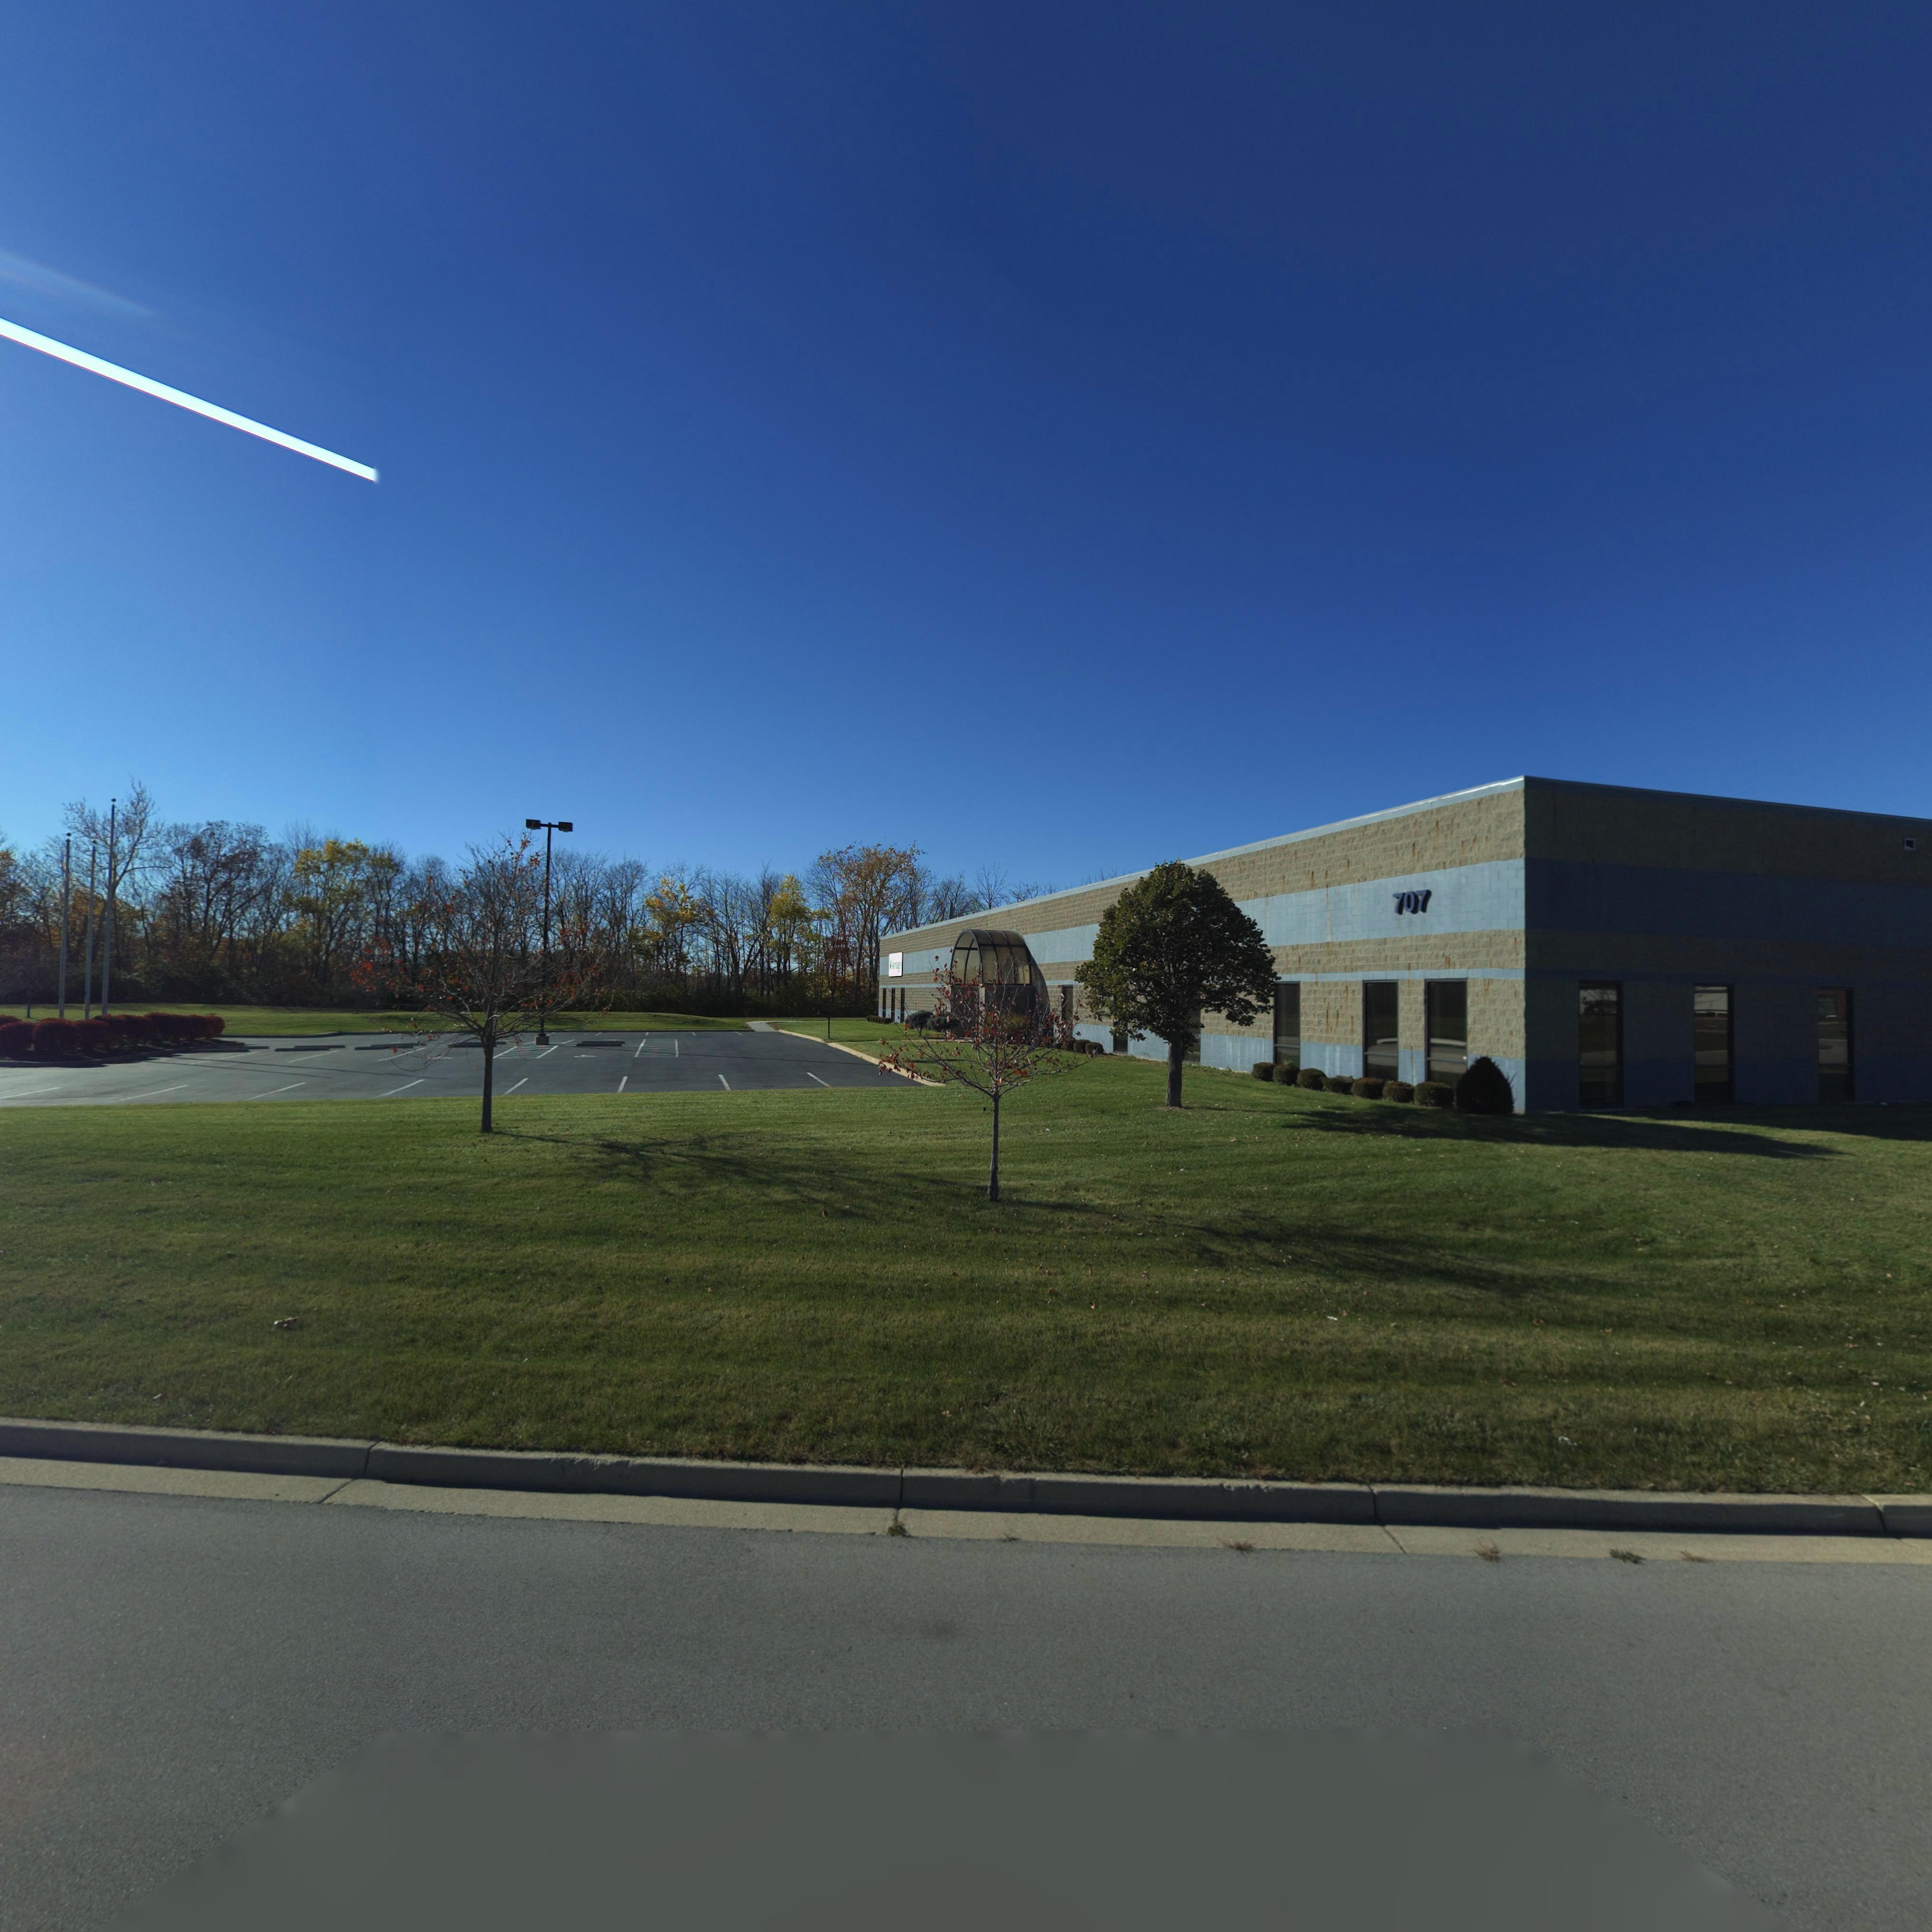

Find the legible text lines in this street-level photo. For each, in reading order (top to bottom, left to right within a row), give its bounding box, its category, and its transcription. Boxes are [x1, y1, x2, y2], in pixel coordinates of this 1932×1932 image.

[1392, 889, 1428, 914] StreetNumber: 707